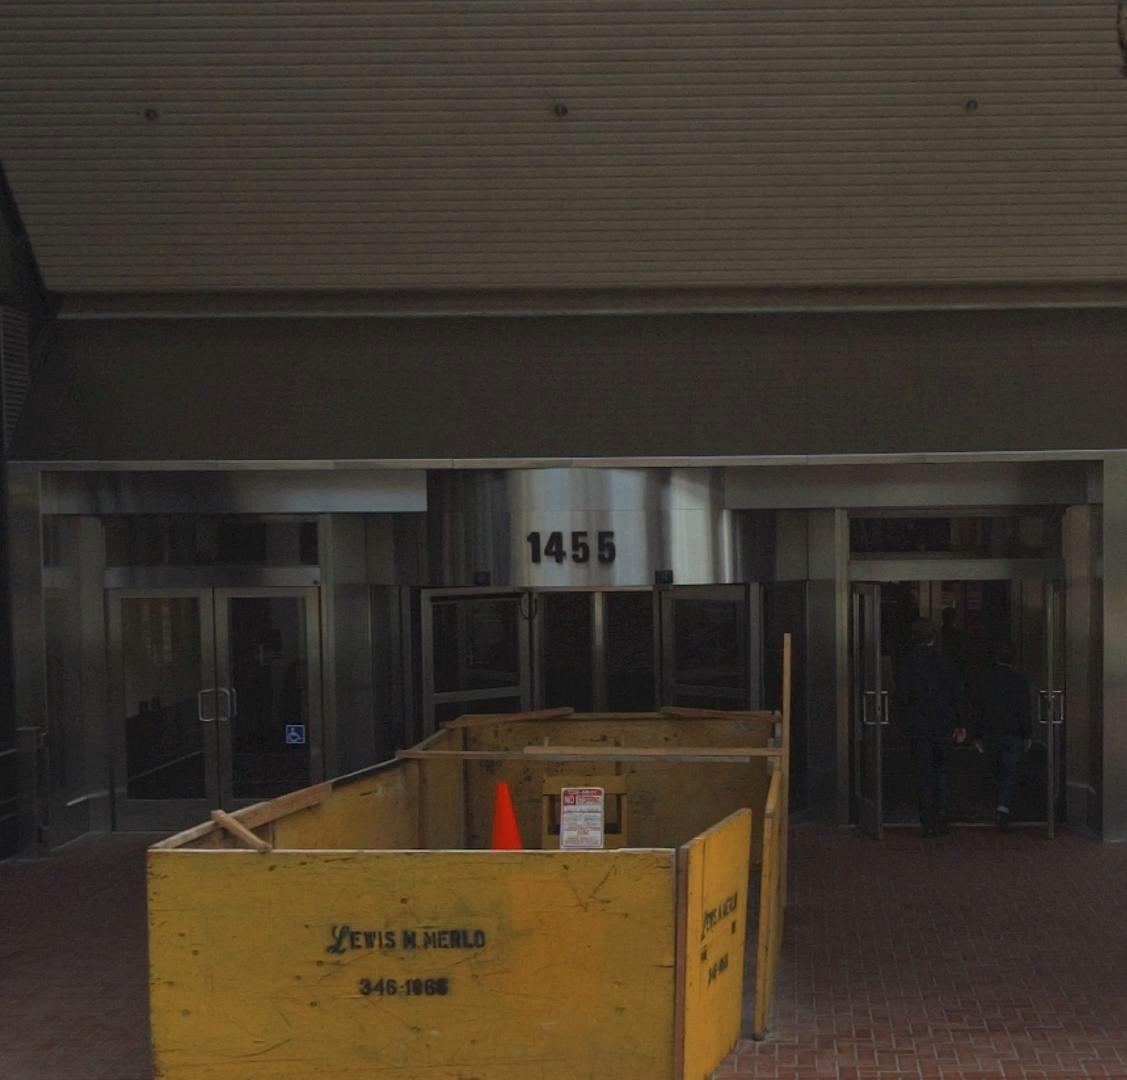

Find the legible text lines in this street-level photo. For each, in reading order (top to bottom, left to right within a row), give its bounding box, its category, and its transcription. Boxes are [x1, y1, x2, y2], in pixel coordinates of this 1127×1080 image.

[526, 531, 616, 564] StreetNumber: 1455
[564, 795, 575, 804] None: NO
[325, 924, 486, 955] BusinessName: LEWIS M. MERLO
[359, 977, 449, 996] None: 346-1***